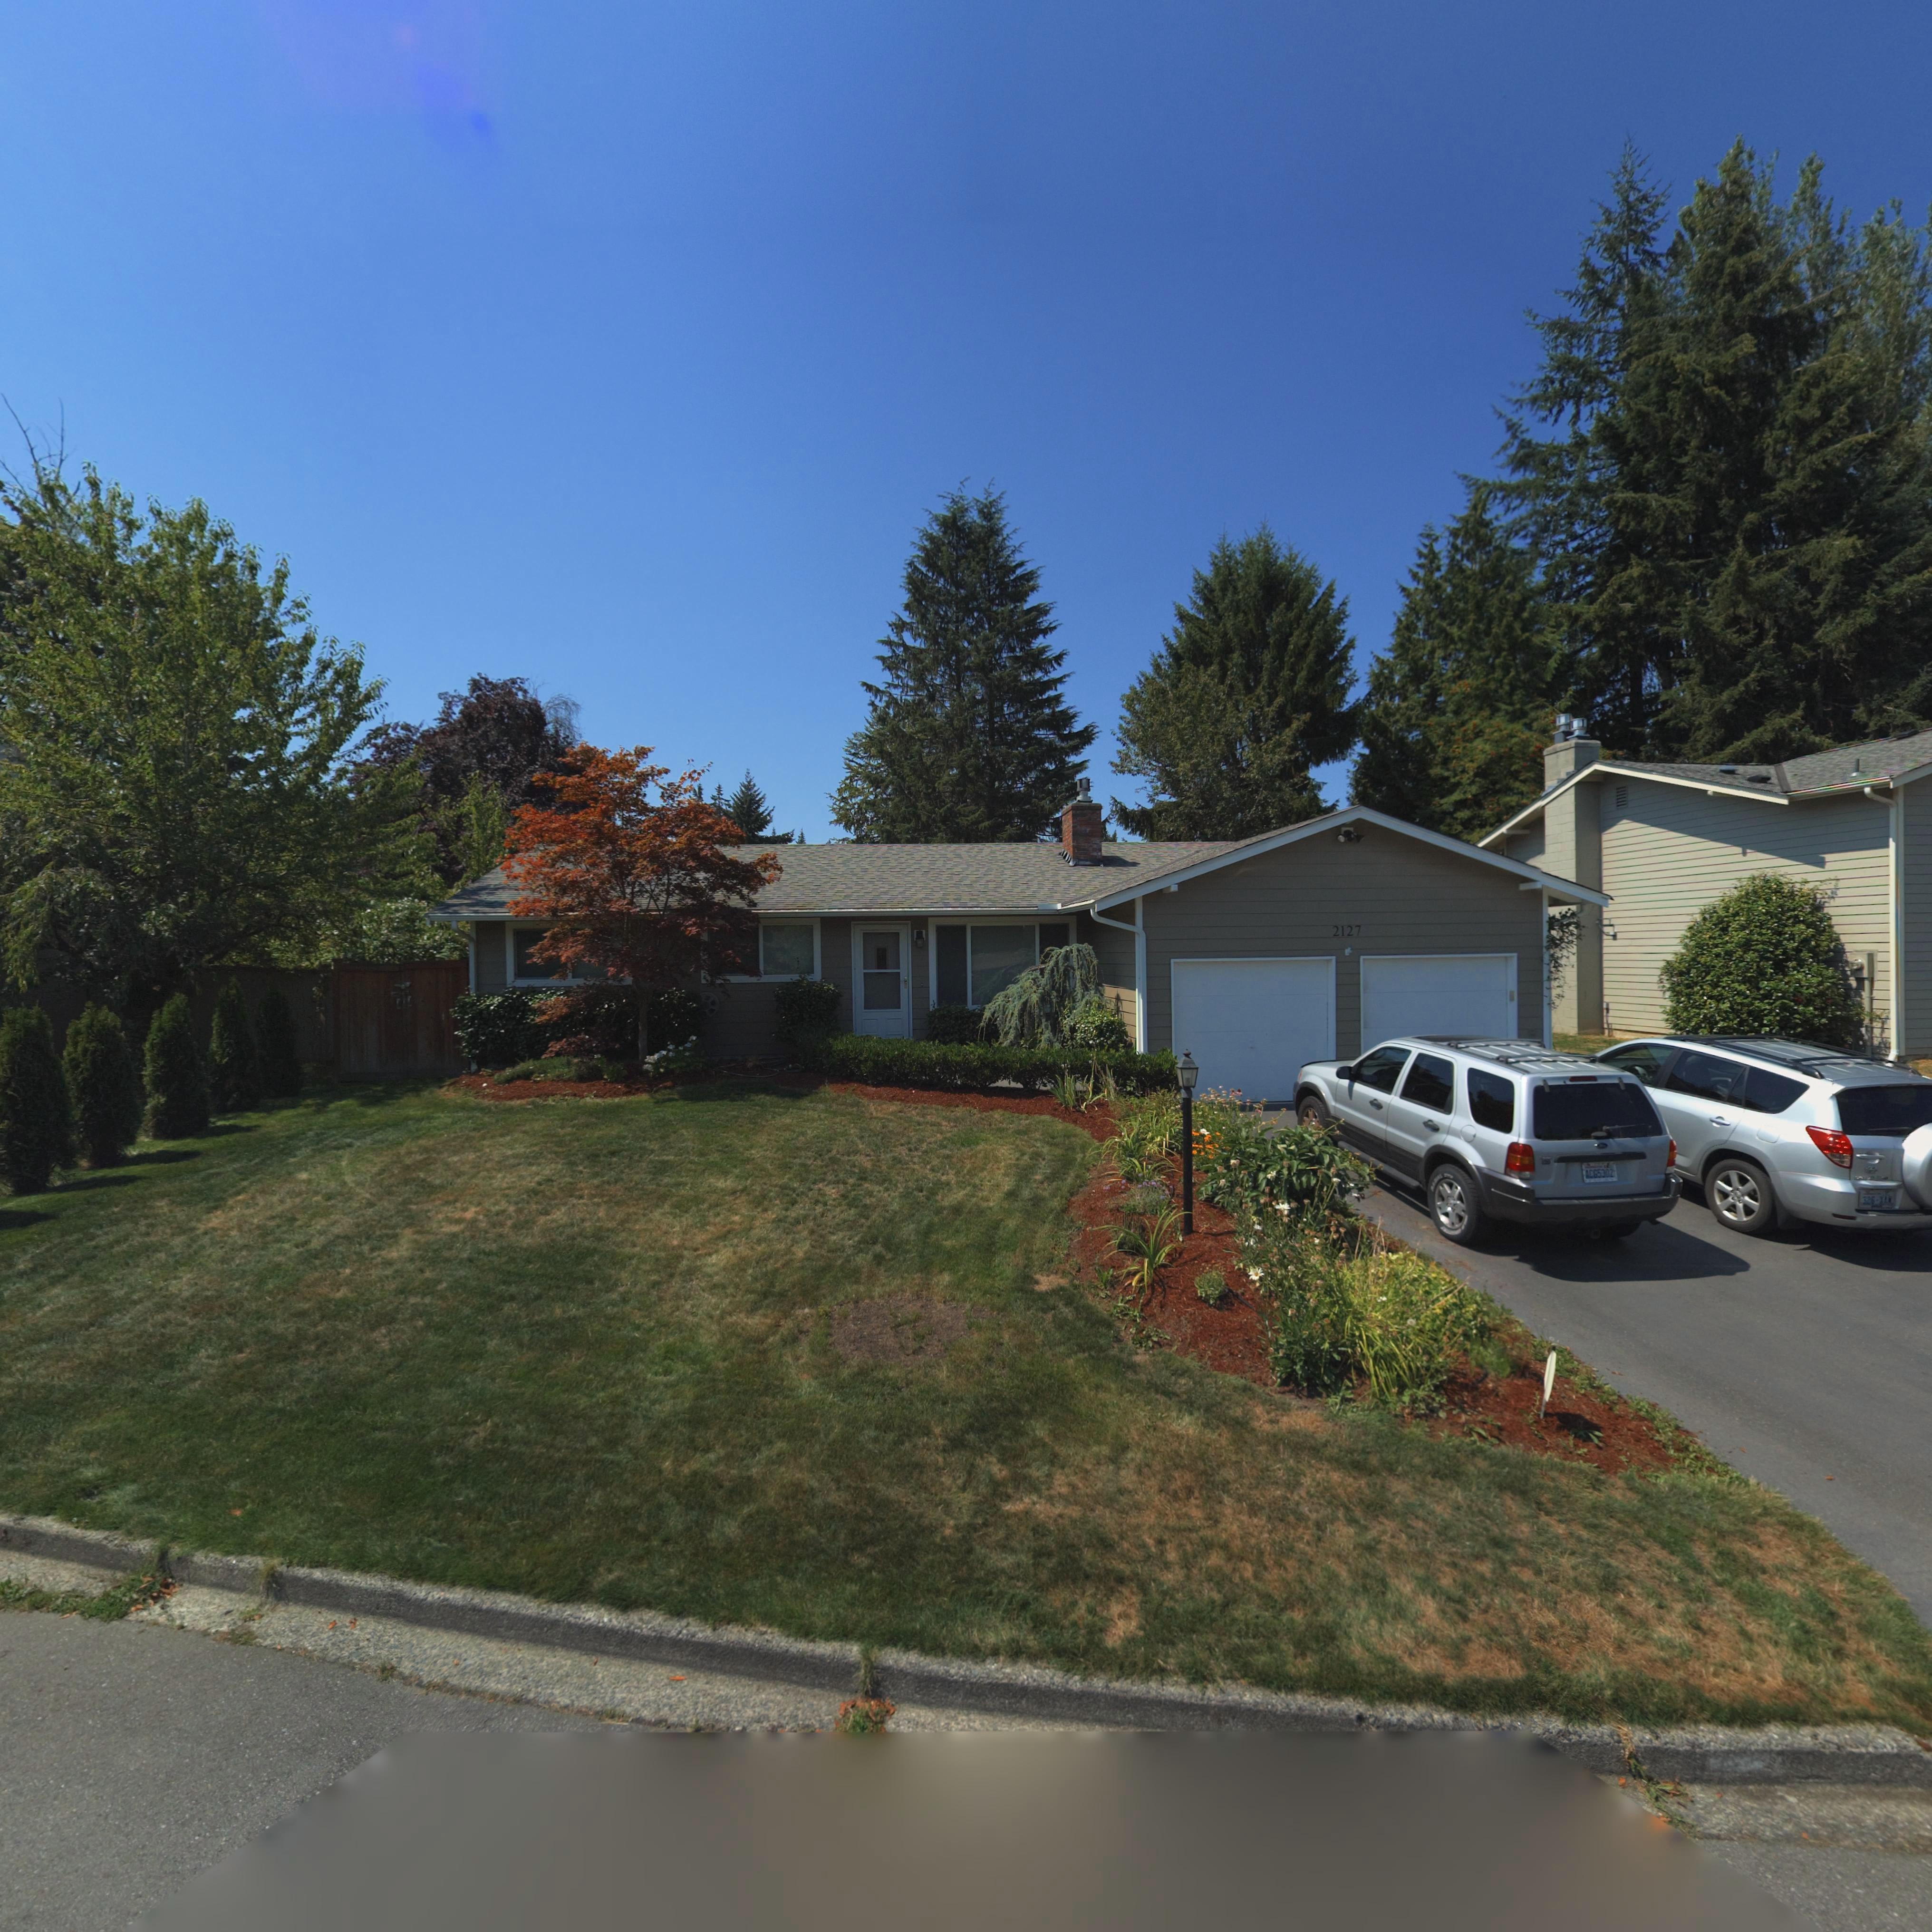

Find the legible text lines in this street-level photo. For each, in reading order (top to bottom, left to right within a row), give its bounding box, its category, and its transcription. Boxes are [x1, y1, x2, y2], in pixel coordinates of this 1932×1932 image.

[1331, 924, 1362, 937] StreetNumber: 2127